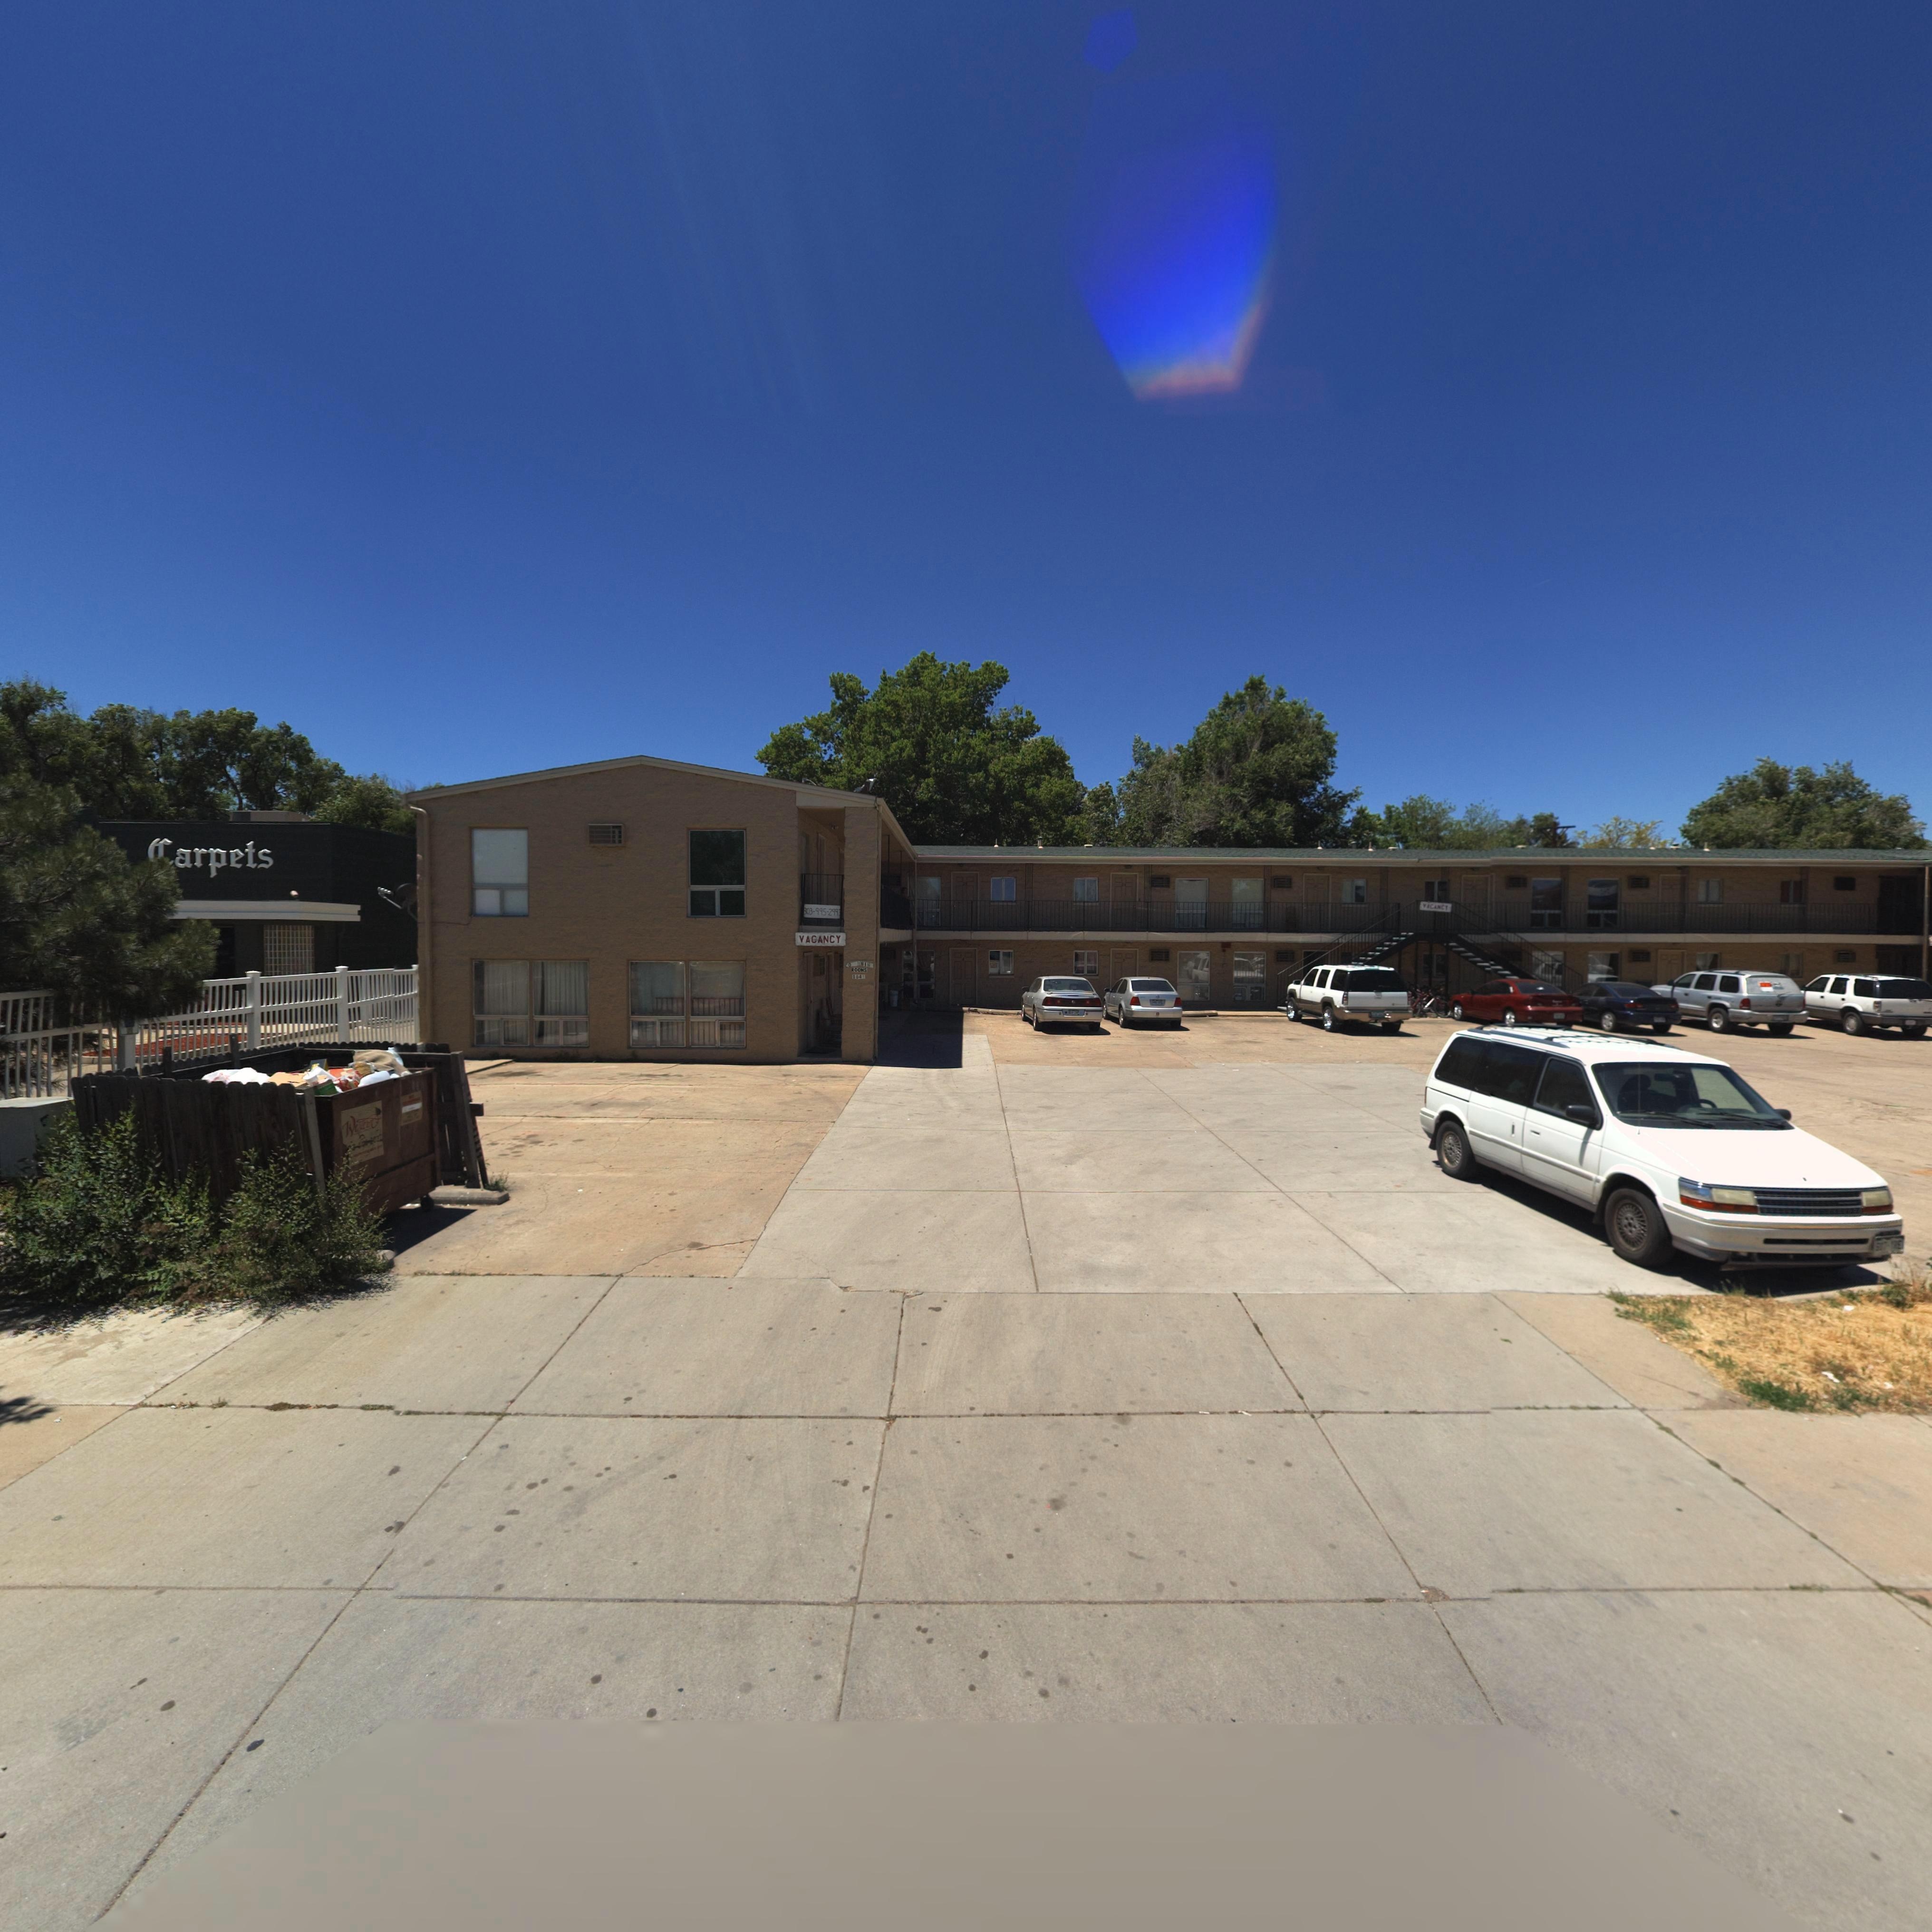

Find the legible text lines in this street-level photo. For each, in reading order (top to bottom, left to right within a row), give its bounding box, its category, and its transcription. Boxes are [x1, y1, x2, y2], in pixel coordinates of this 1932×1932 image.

[145, 834, 277, 879] BusinessName: Carpets
[852, 974, 865, 979] StreetNumber: 1641